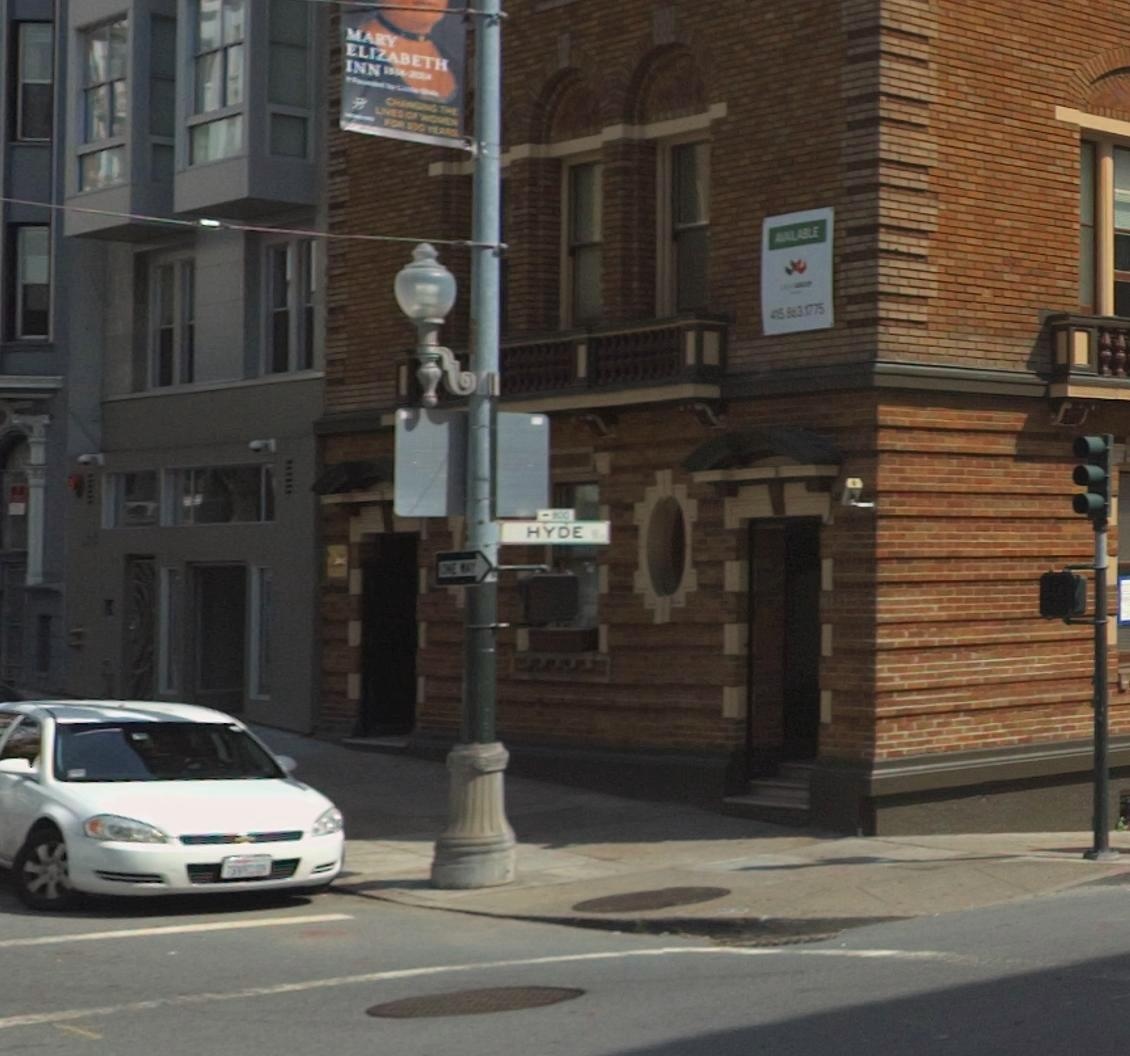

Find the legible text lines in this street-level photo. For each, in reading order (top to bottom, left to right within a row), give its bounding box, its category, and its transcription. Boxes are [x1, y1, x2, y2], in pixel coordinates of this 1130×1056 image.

[343, 24, 401, 51] None: MARY
[343, 56, 385, 80] None: INN
[343, 39, 451, 74] None: ELIZABETH
[771, 222, 823, 247] None: ****LABLE
[766, 299, 829, 325] None: **5 863.1775
[538, 509, 571, 522] StreetNumberRange: <-*00
[524, 523, 586, 542] StreetName: Hyde